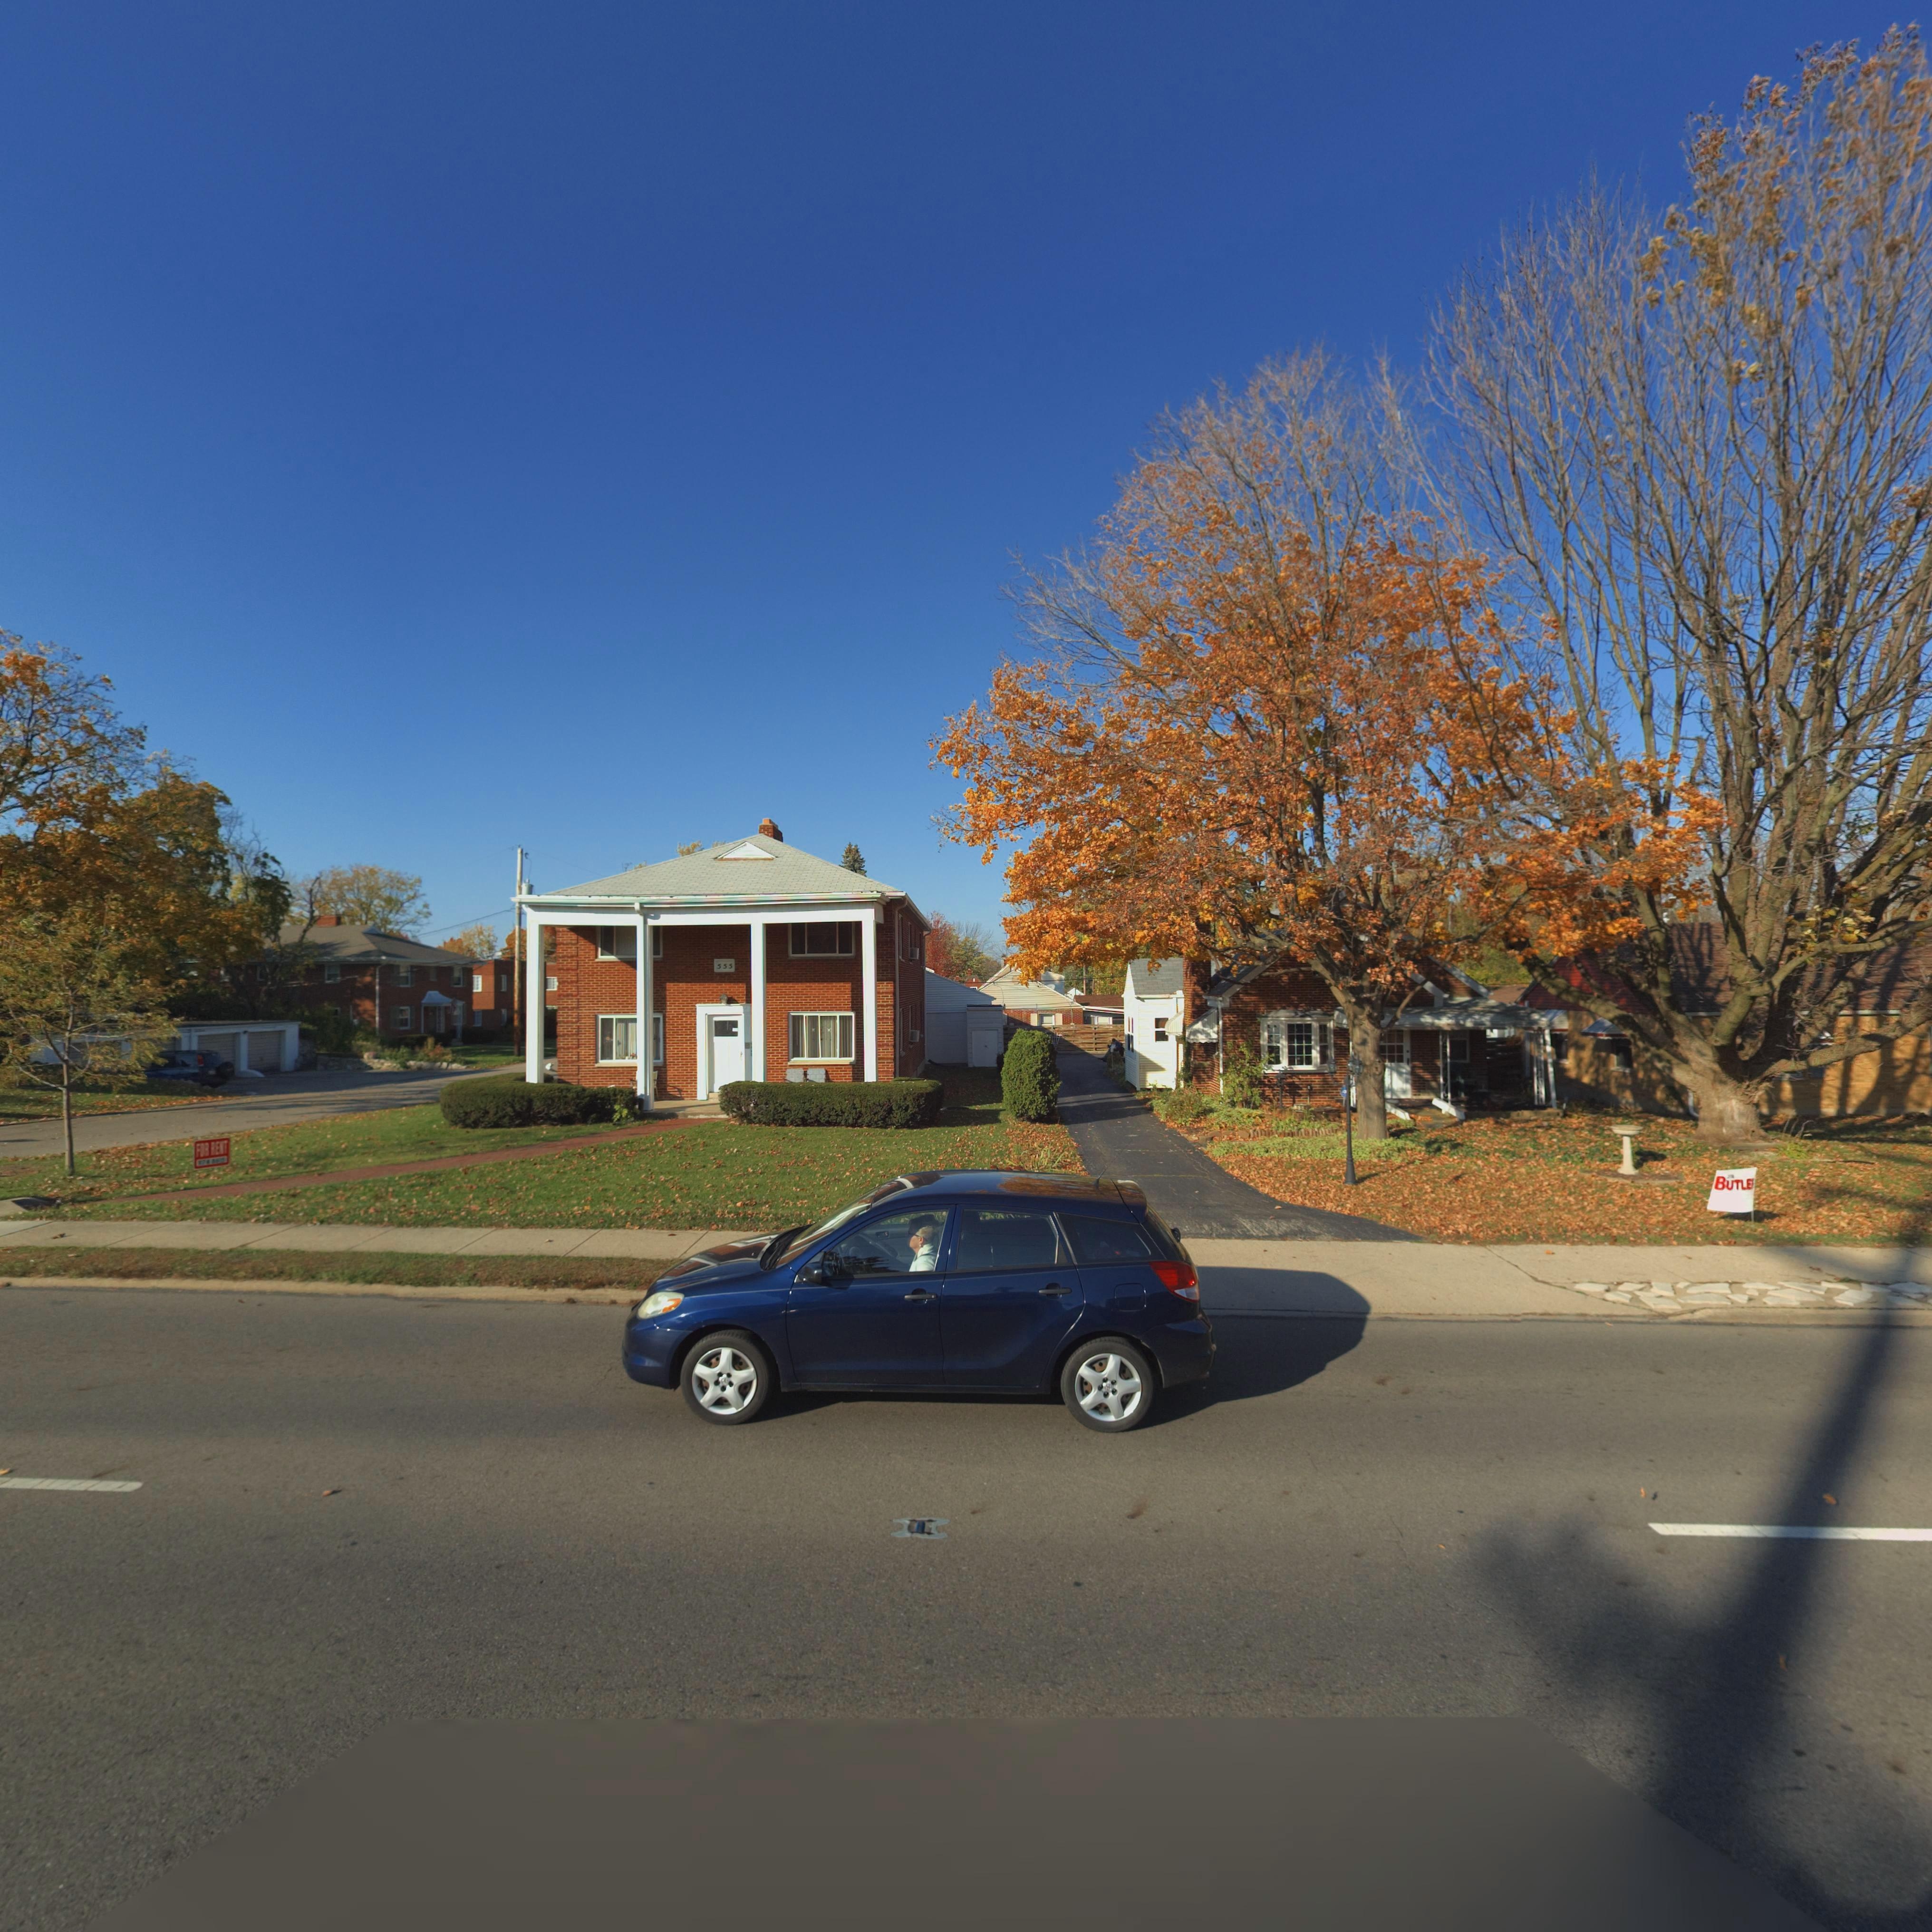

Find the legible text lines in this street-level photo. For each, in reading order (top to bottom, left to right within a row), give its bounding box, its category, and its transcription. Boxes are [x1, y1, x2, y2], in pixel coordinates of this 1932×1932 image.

[716, 964, 733, 969] StreetNumber: 555